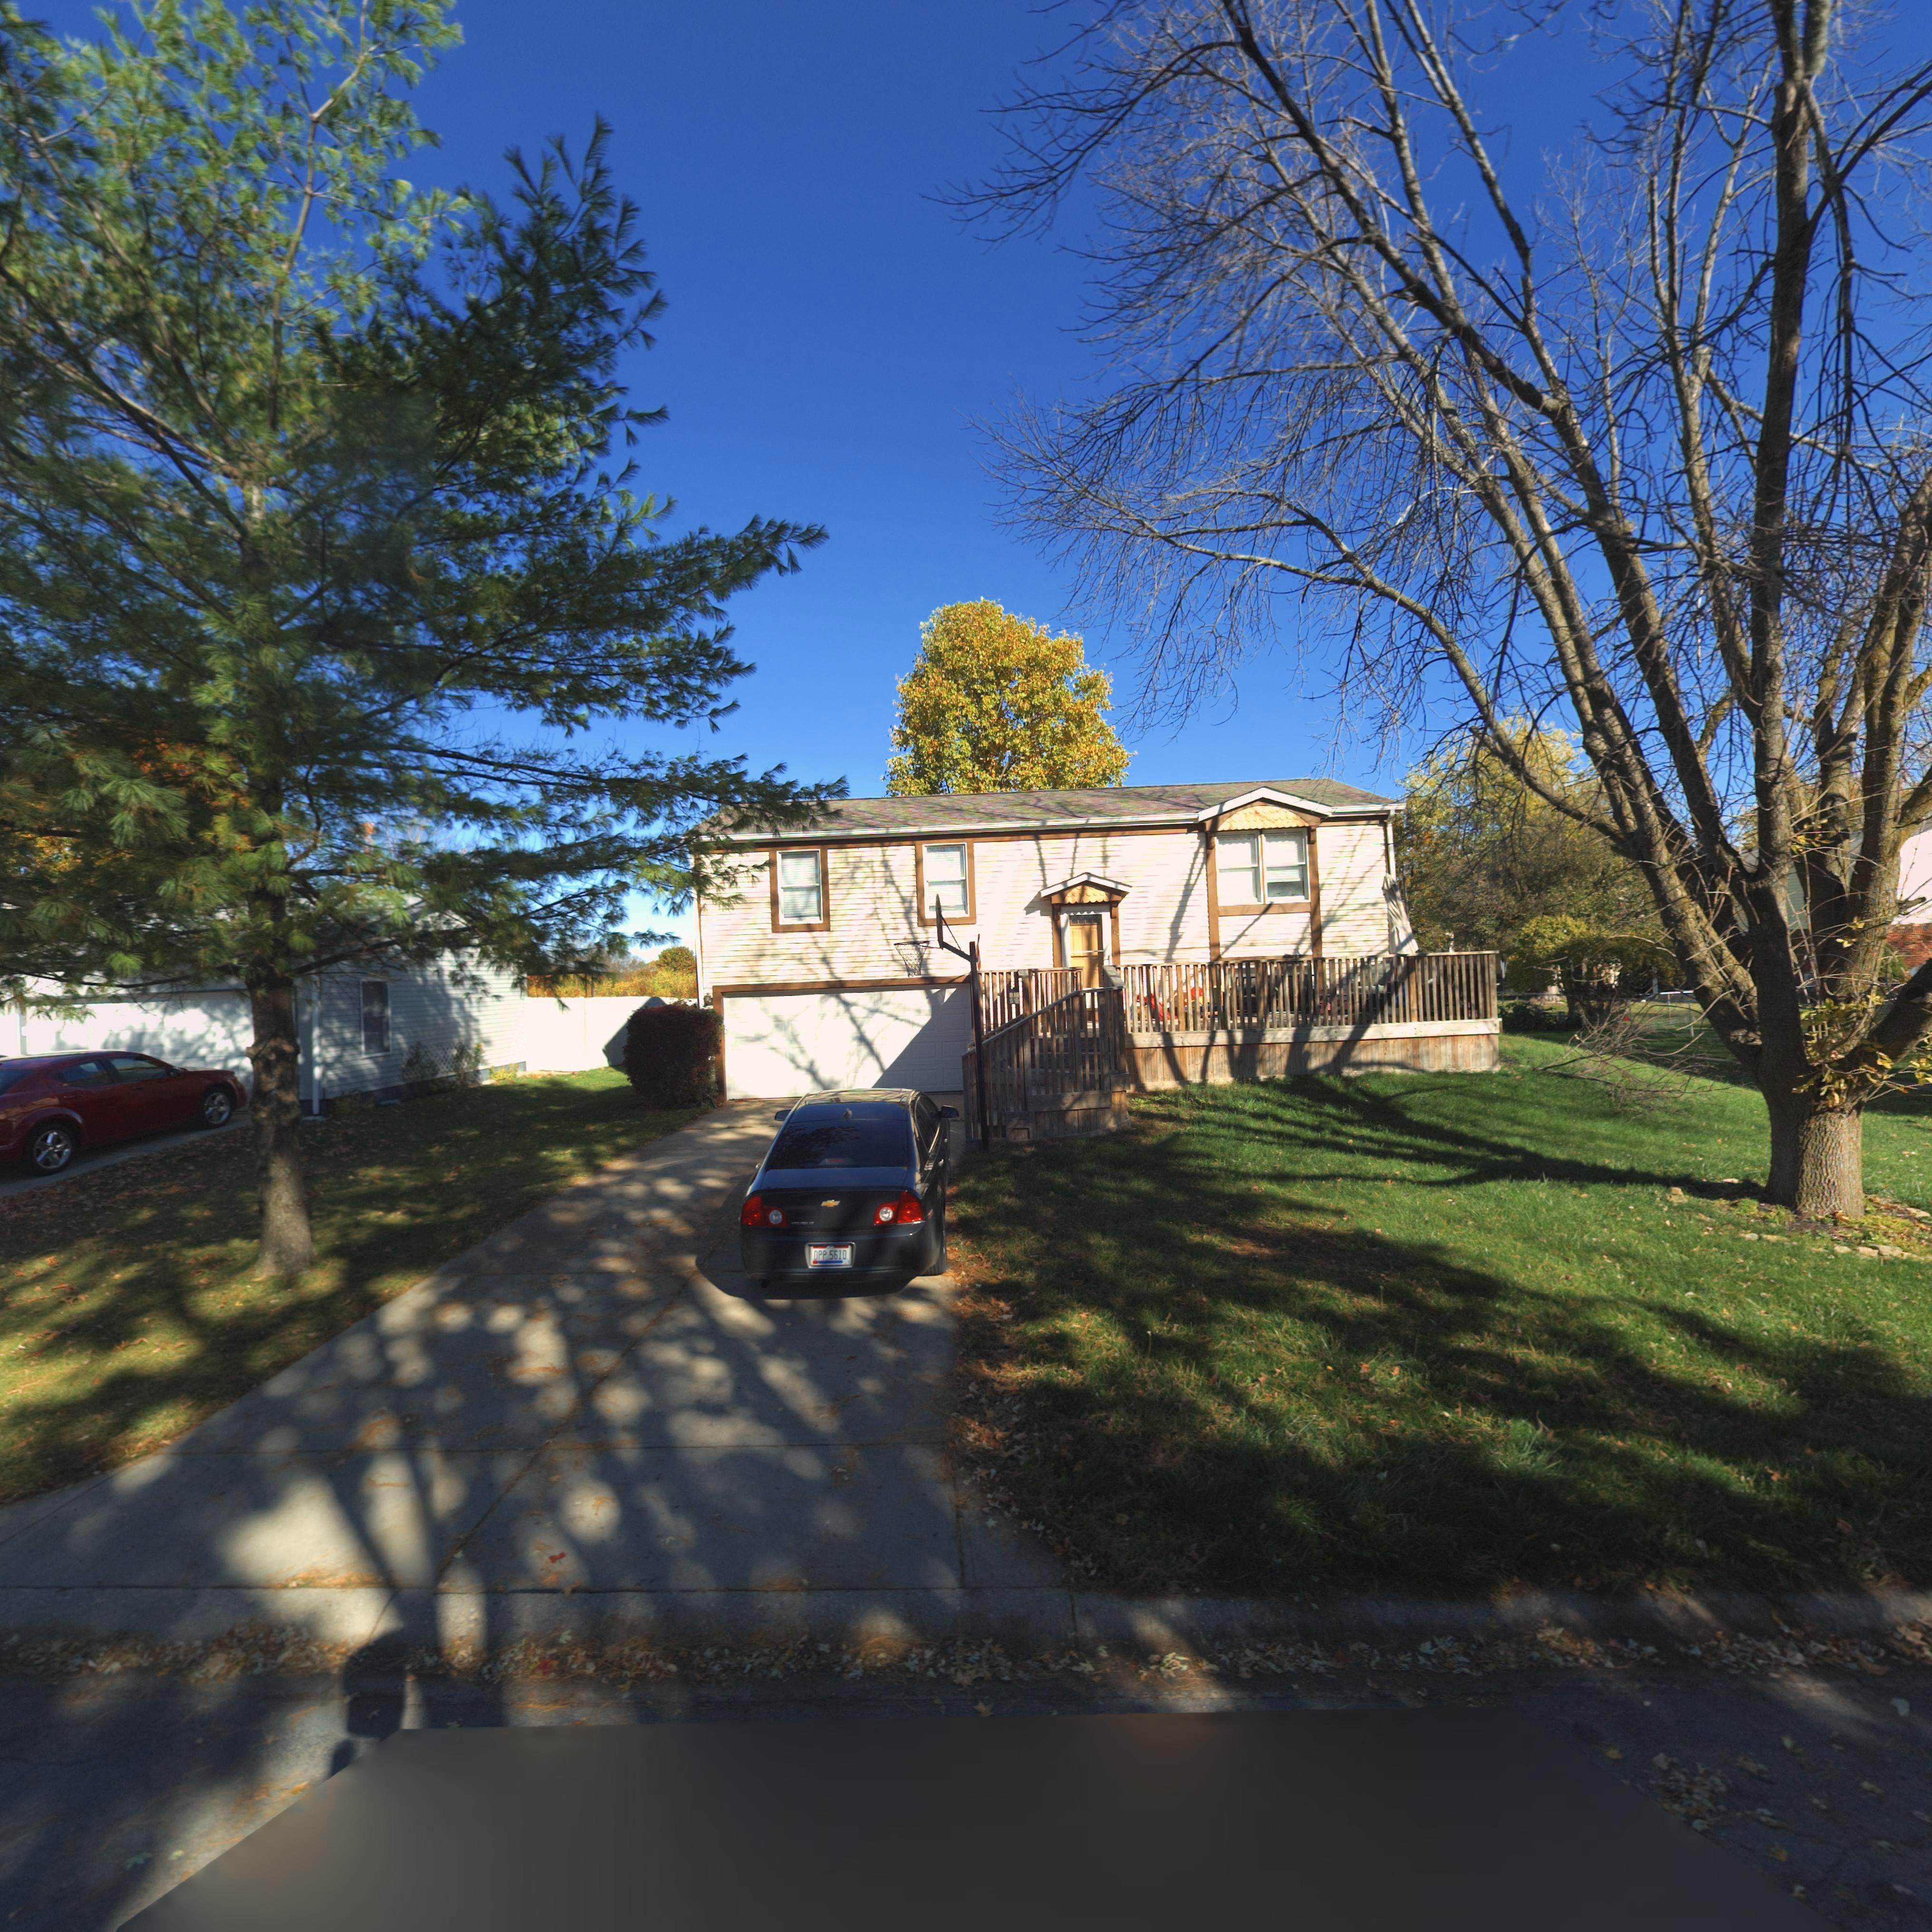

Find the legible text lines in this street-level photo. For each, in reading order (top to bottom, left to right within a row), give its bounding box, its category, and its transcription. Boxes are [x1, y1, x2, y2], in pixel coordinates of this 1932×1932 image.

[1111, 924, 1120, 941] StreetNumber: 103